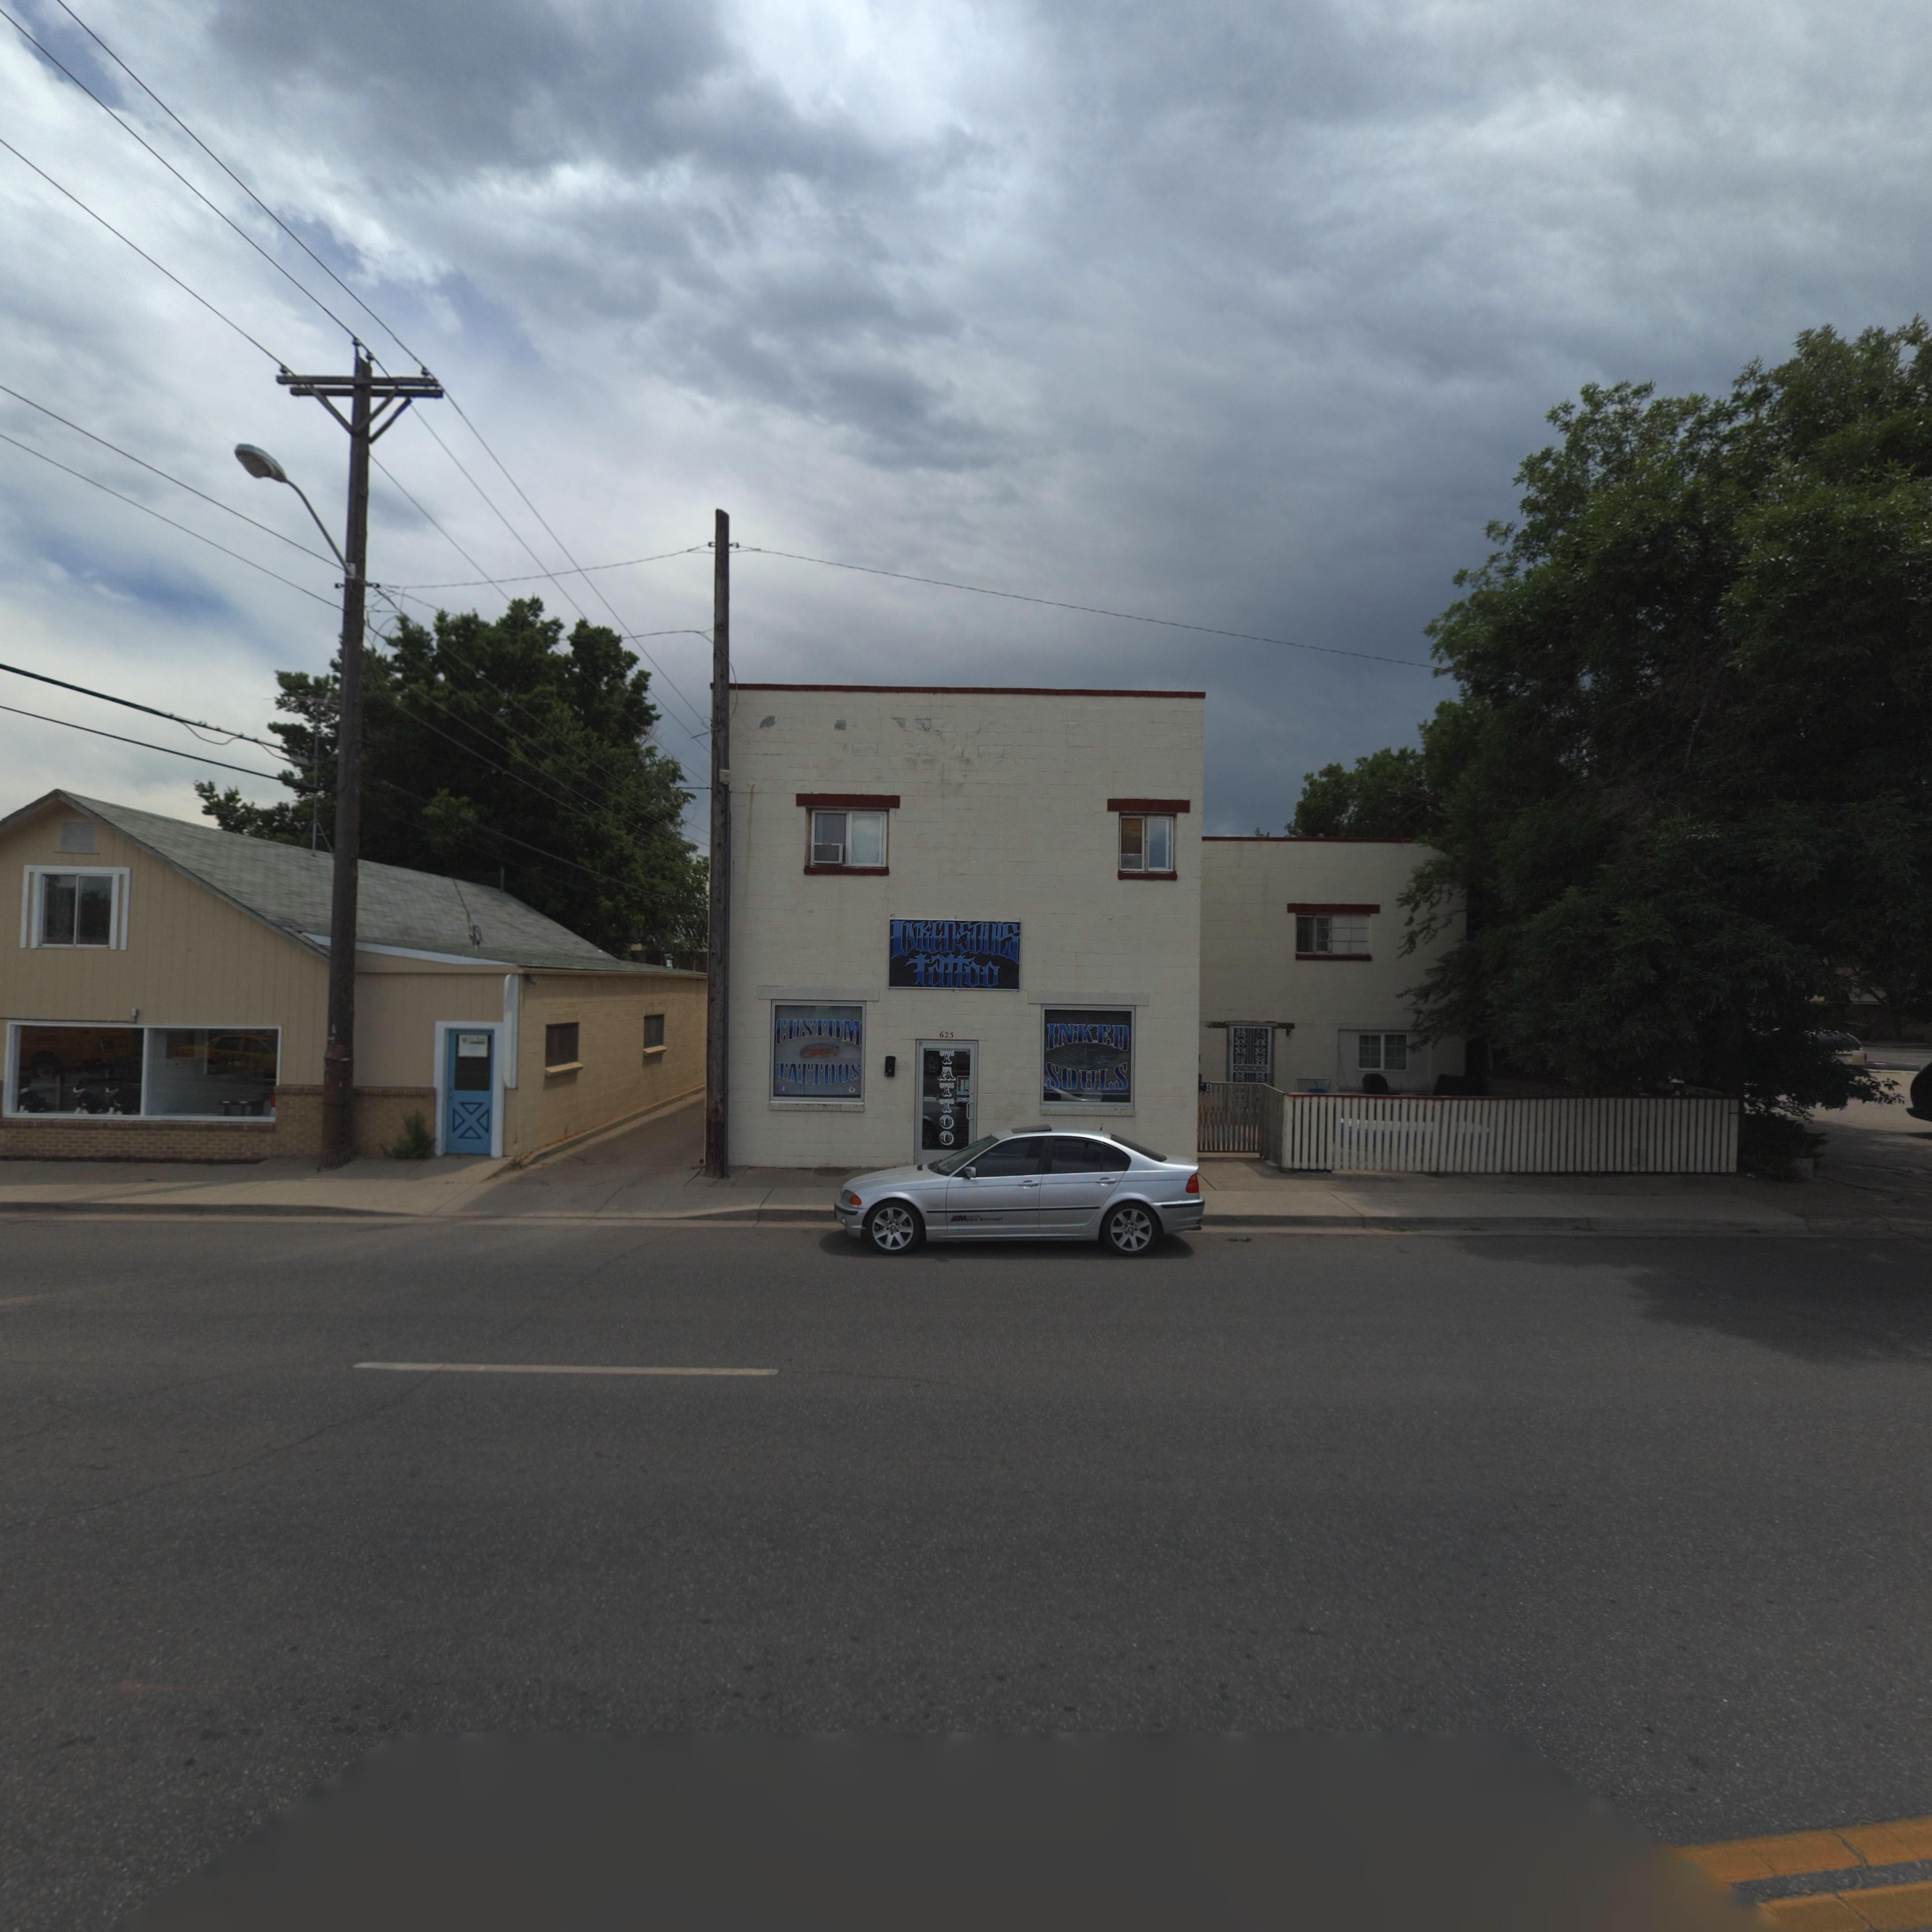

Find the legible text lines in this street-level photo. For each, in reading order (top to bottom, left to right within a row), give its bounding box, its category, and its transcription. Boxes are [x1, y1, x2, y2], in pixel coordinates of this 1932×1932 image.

[889, 919, 1019, 965] BusinessName: INKED*SOULS
[905, 953, 1000, 988] BusinessName: tattoo
[939, 1031, 953, 1038] StreetNumber: 625
[1045, 1023, 1129, 1052] BusinessName: INKED
[1045, 1061, 1128, 1091] BusinessName: SOULS
[1206, 1083, 1211, 1092] StreetNumber: 4